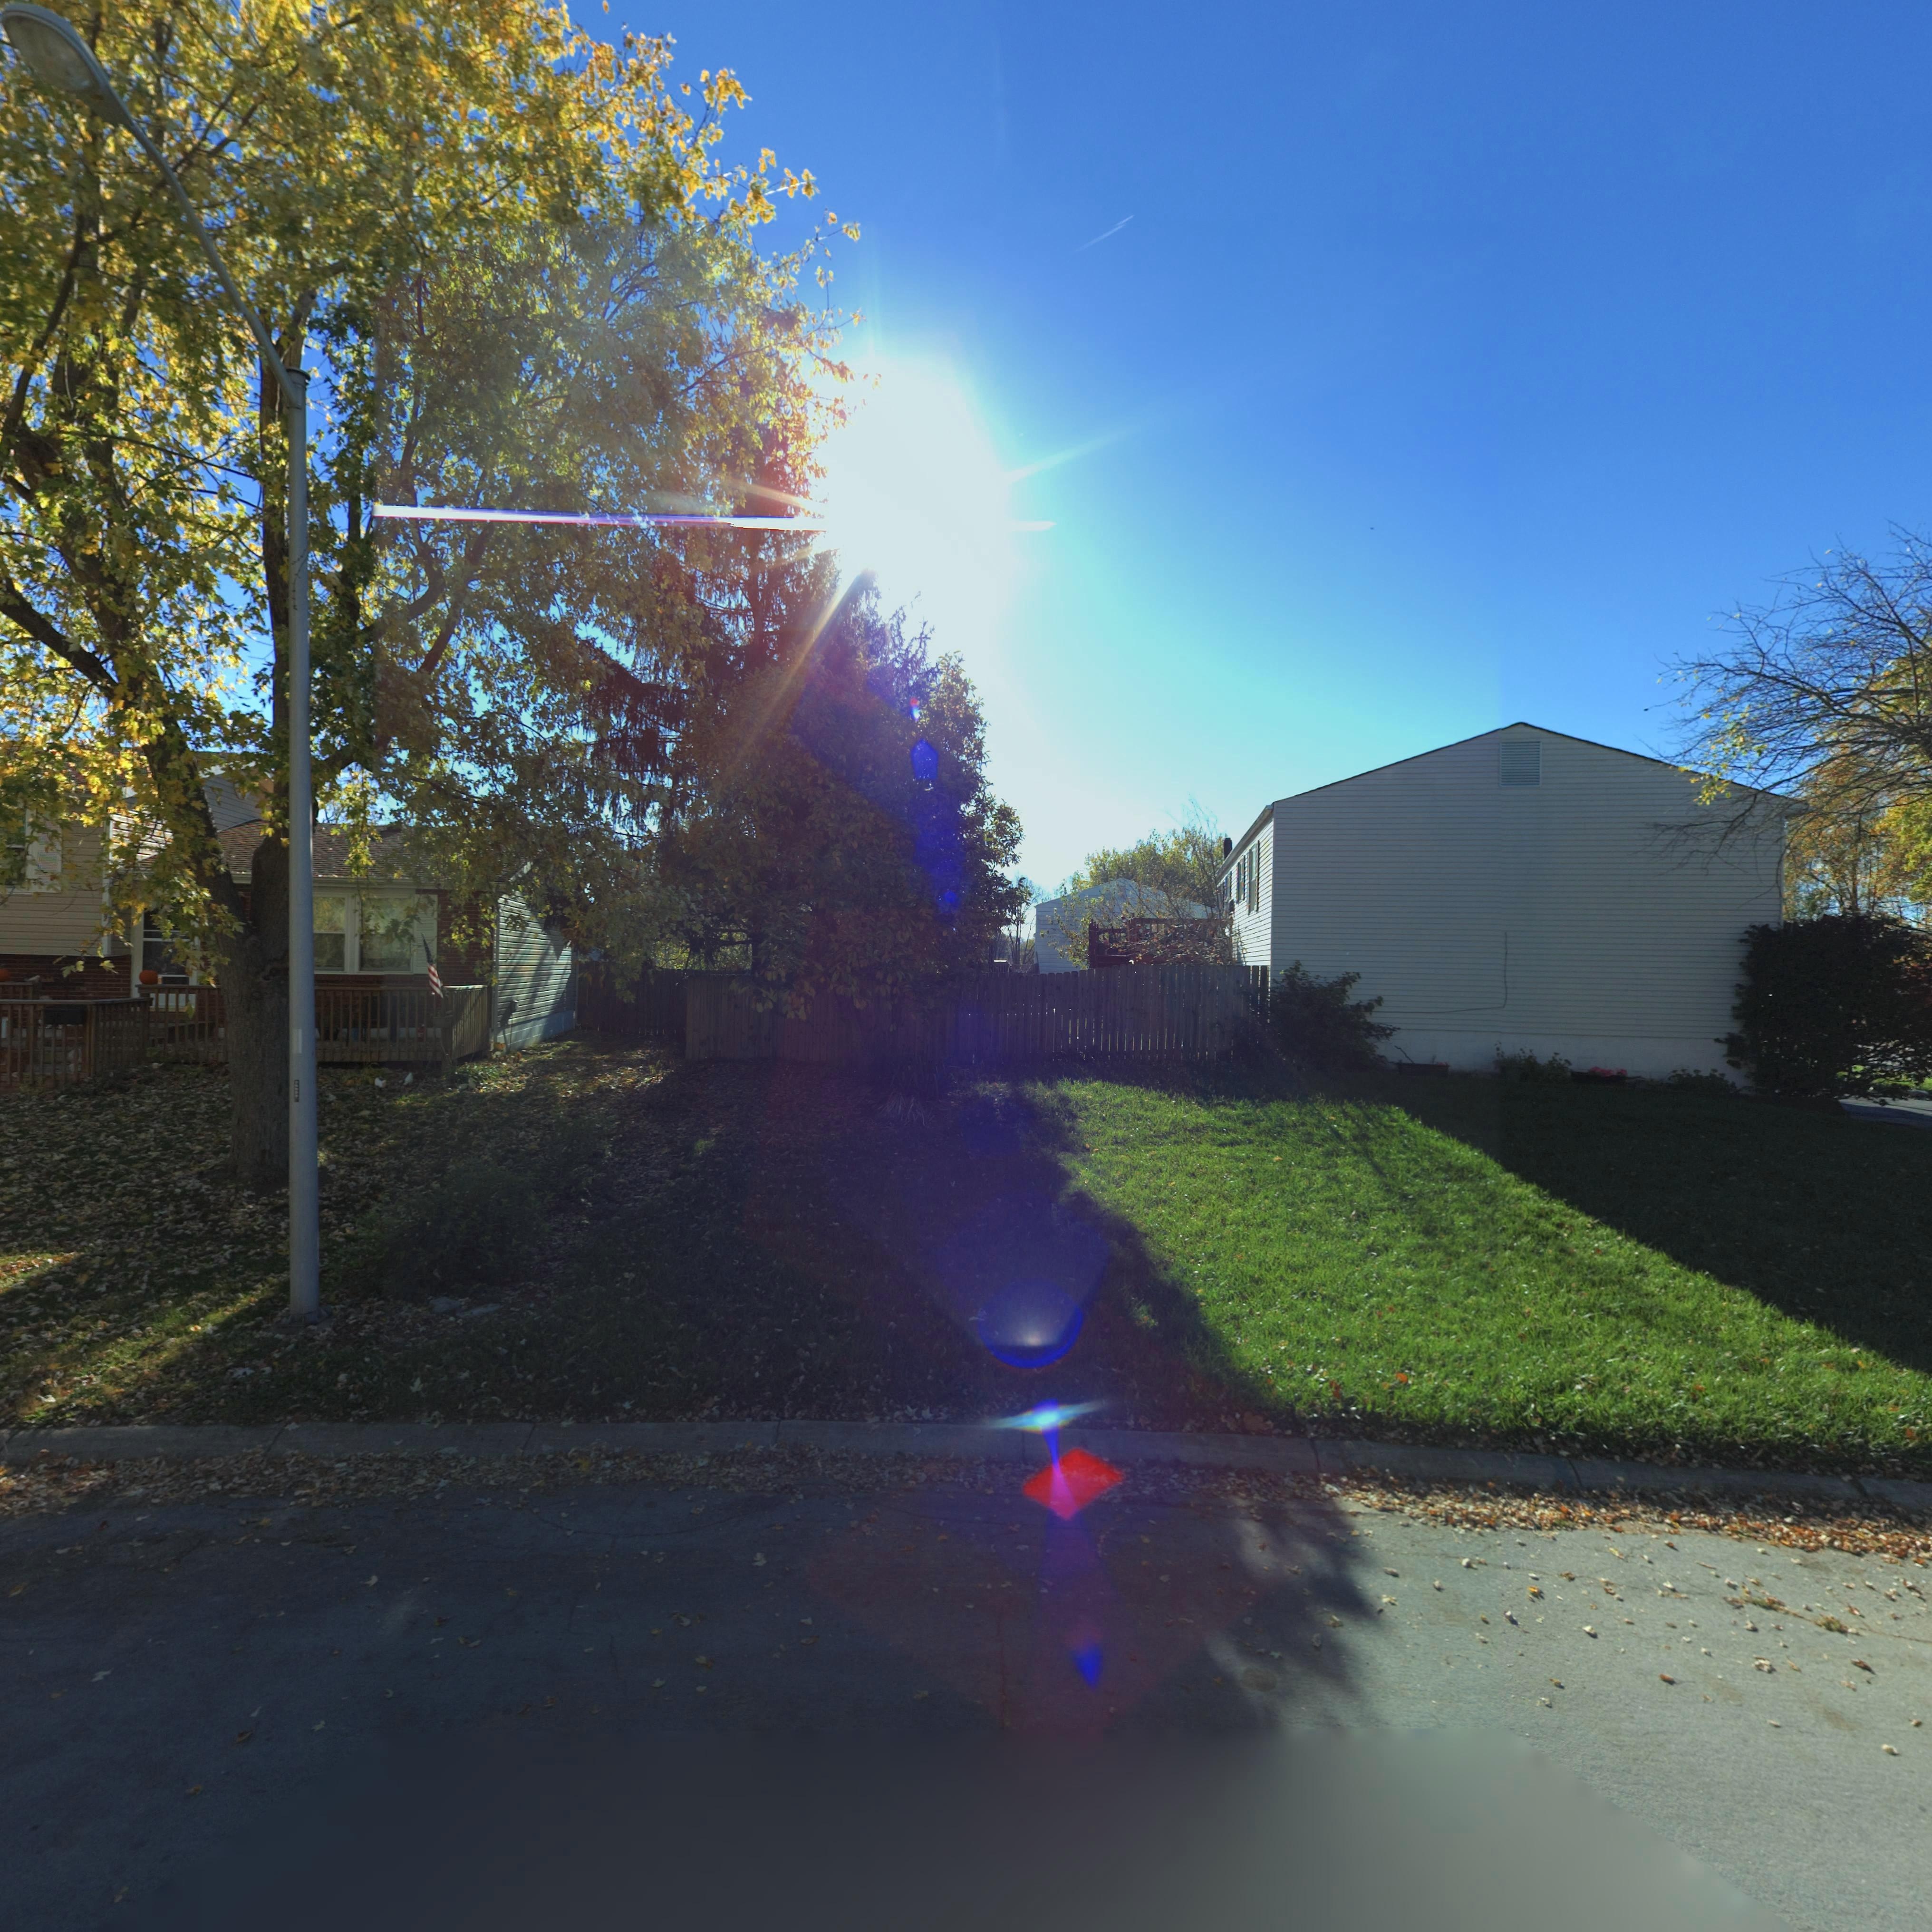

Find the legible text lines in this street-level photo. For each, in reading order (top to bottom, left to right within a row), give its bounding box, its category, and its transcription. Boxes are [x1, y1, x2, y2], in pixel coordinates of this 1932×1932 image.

[103, 916, 108, 922] StreetNumber: 7